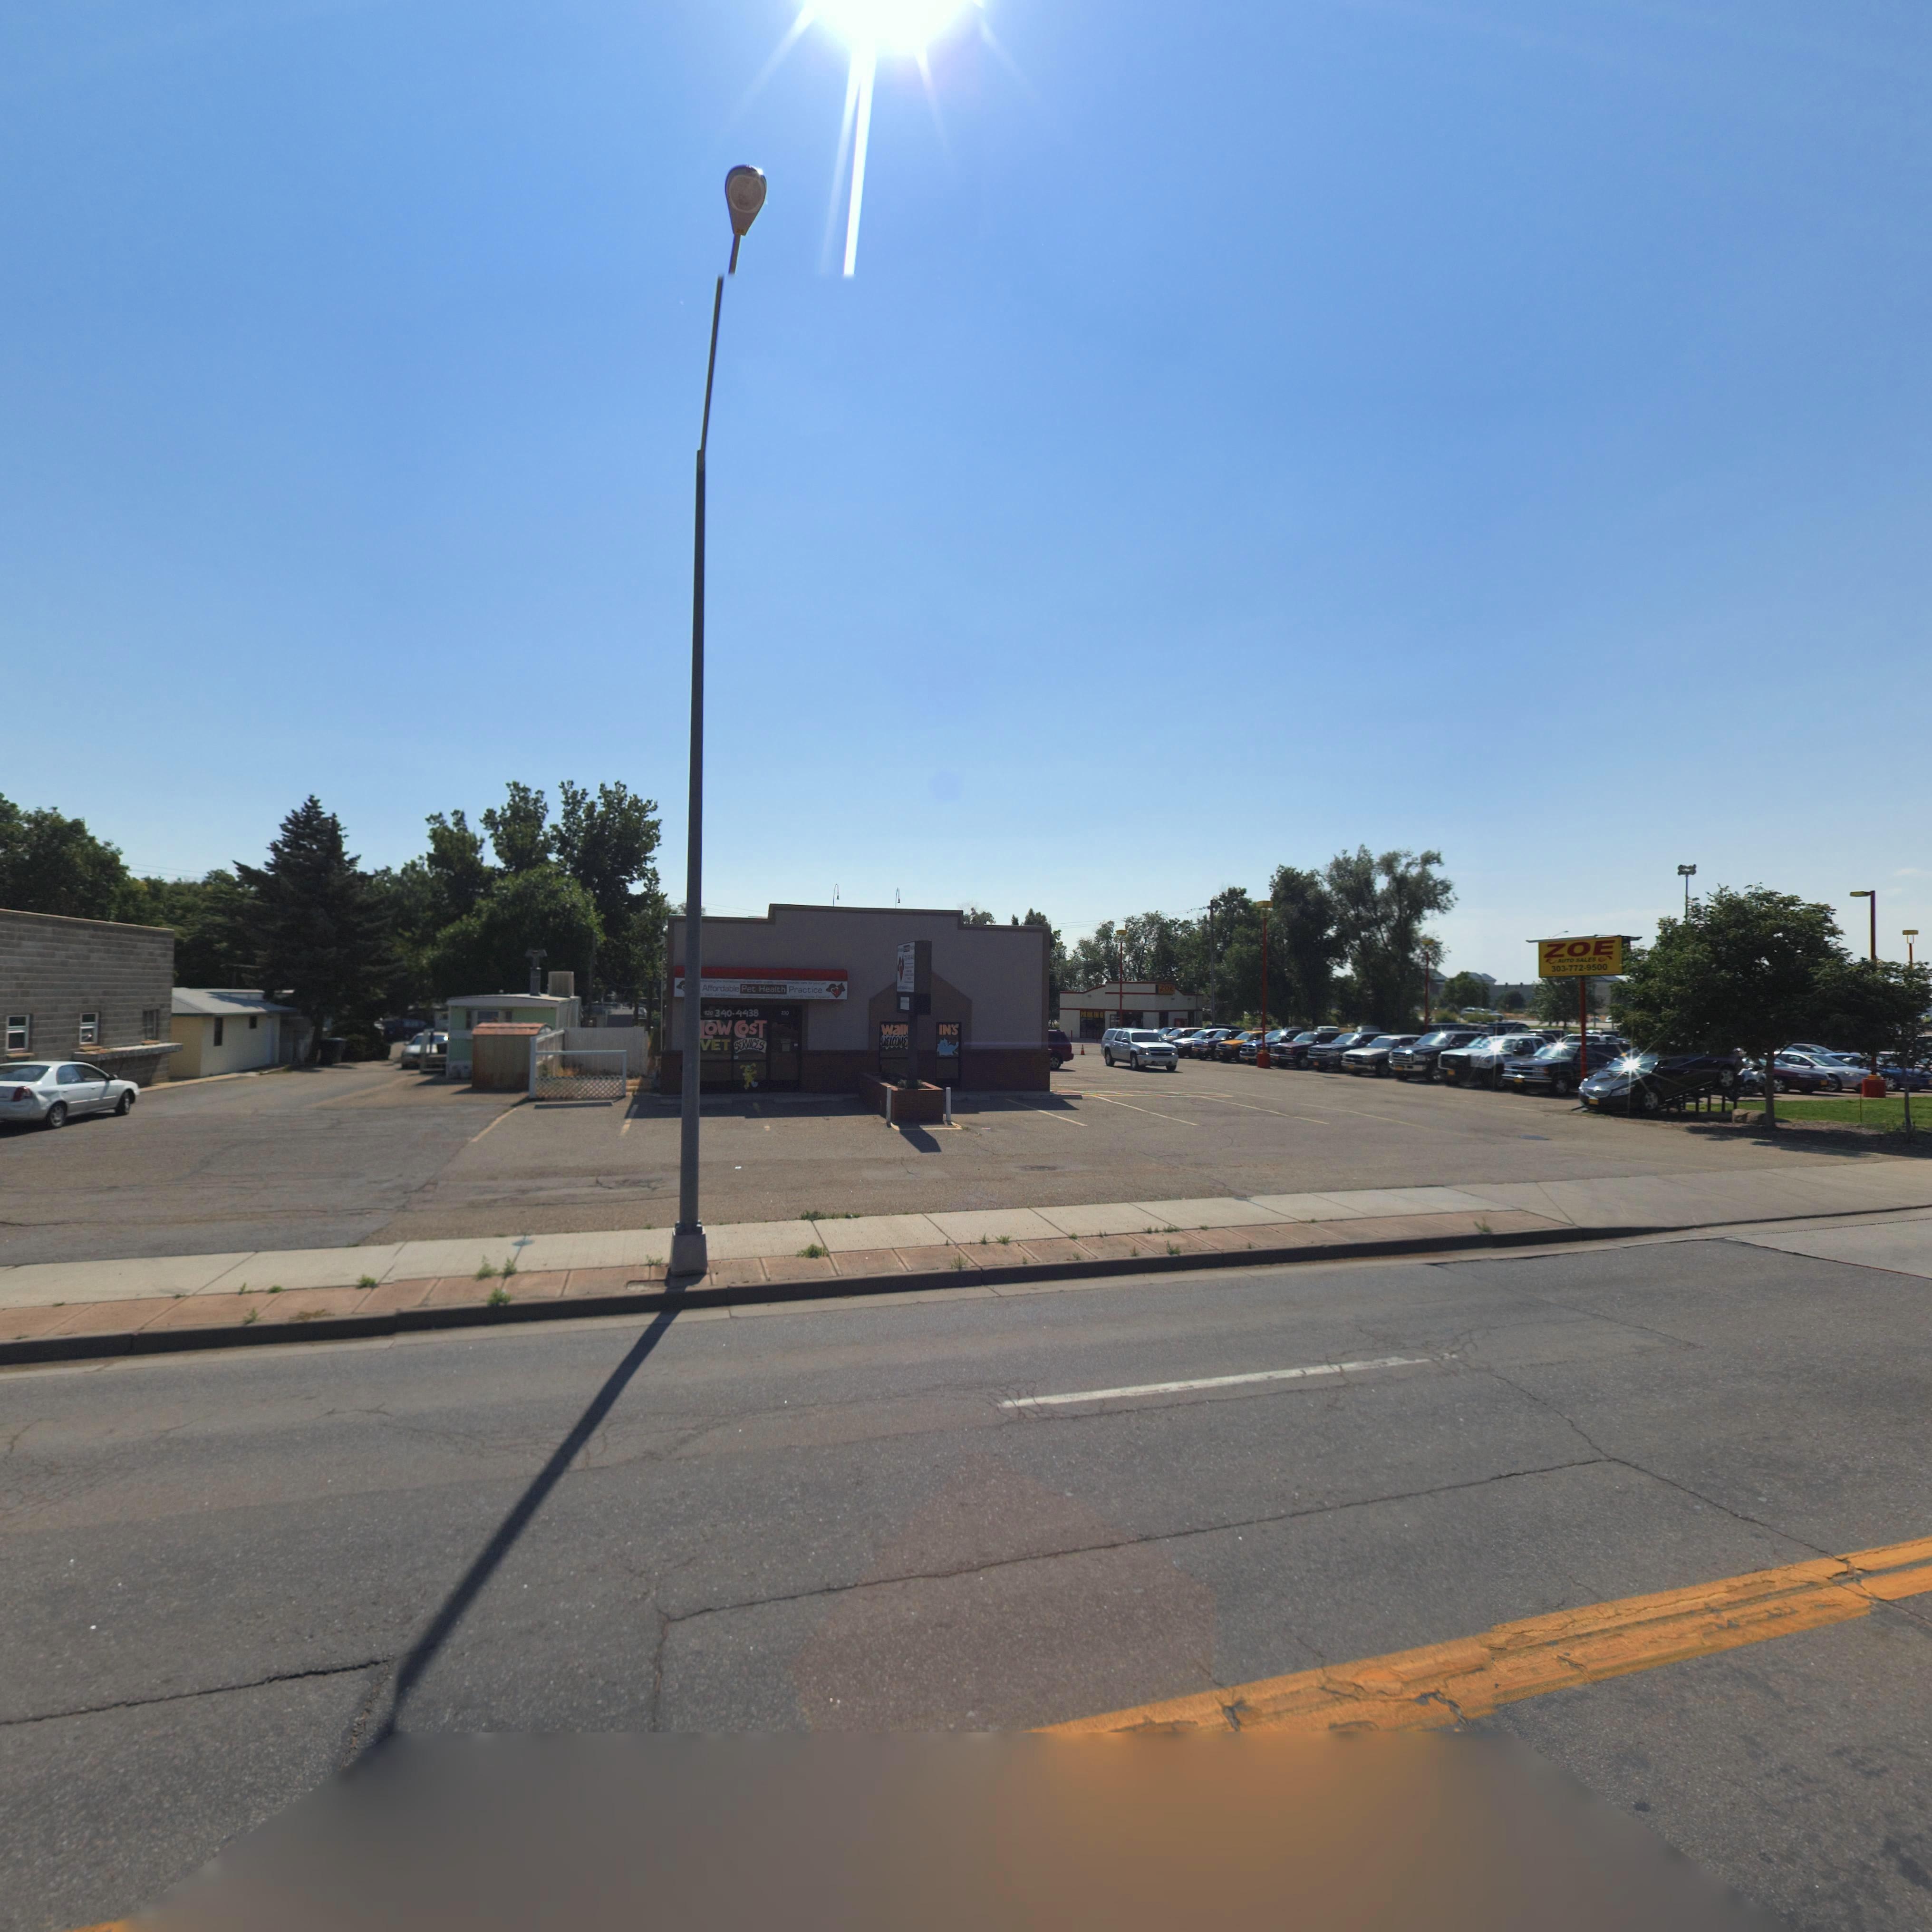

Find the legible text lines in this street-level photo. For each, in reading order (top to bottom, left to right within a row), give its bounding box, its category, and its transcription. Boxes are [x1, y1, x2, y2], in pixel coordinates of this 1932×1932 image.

[1544, 939, 1615, 958] BusinessName: ZOE
[1557, 956, 1596, 963] BusinessName: AUTO SALES
[701, 984, 822, 993] BusinessName: Affordable Pet Health Practice
[1159, 985, 1174, 991] BusinessName: ZOE
[781, 1010, 789, 1015] StreetNumber: 230